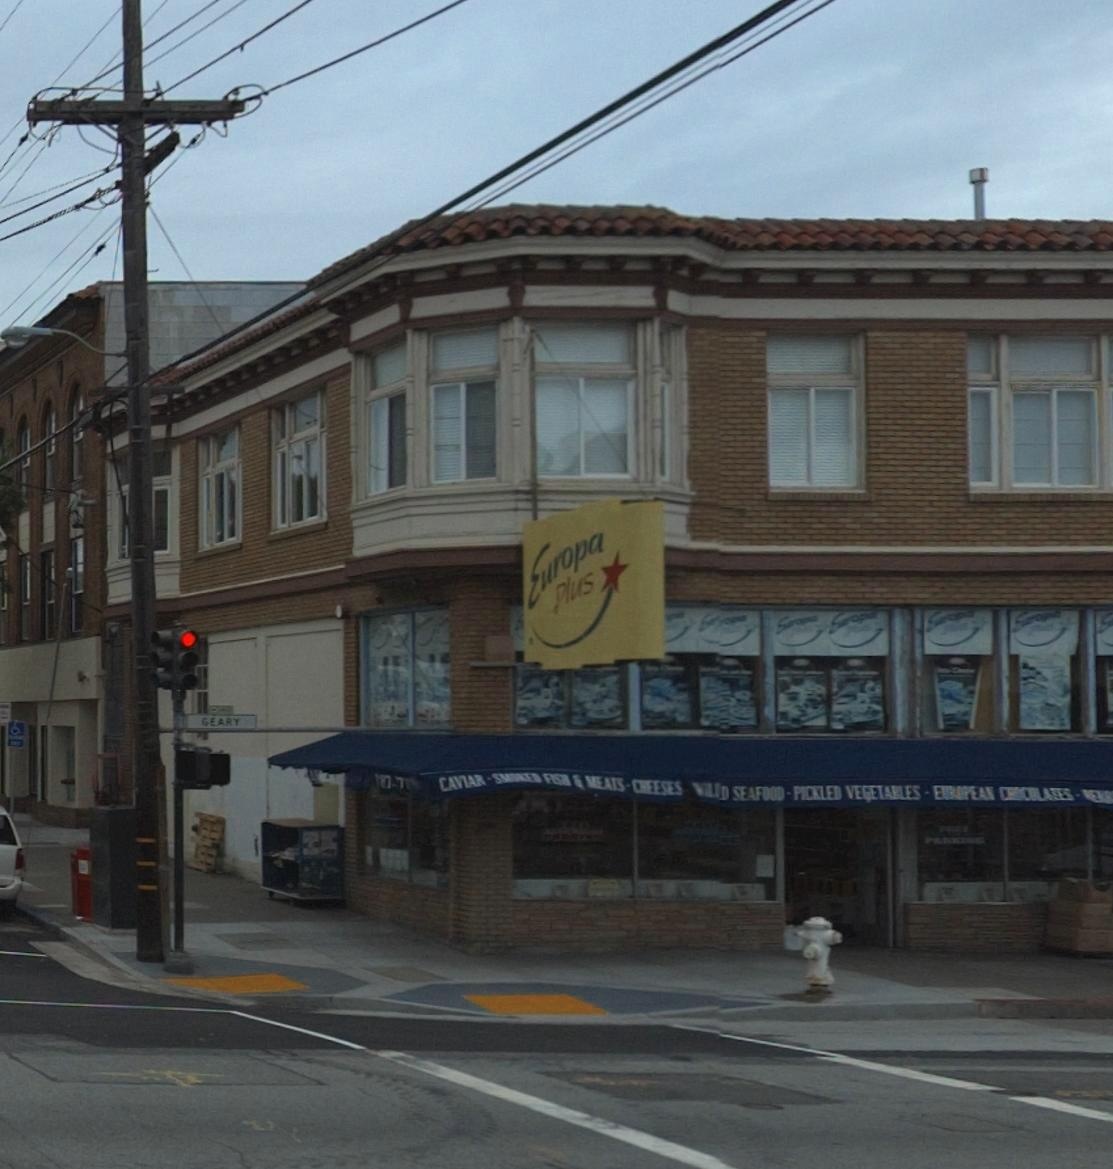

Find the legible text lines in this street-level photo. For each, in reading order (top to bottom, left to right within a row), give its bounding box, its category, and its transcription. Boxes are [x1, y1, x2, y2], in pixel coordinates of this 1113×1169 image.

[524, 527, 608, 617] BusinessName: Europa
[552, 568, 600, 620] BusinessName: Plus
[199, 714, 243, 729] StreetName: GEARY
[436, 770, 490, 796] None: CAV*AR
[581, 772, 687, 799] None: MEATS * C*EESES
[730, 782, 998, 805] None: SEAFOOD * PICKLED VEGETA*LES * E*****AN